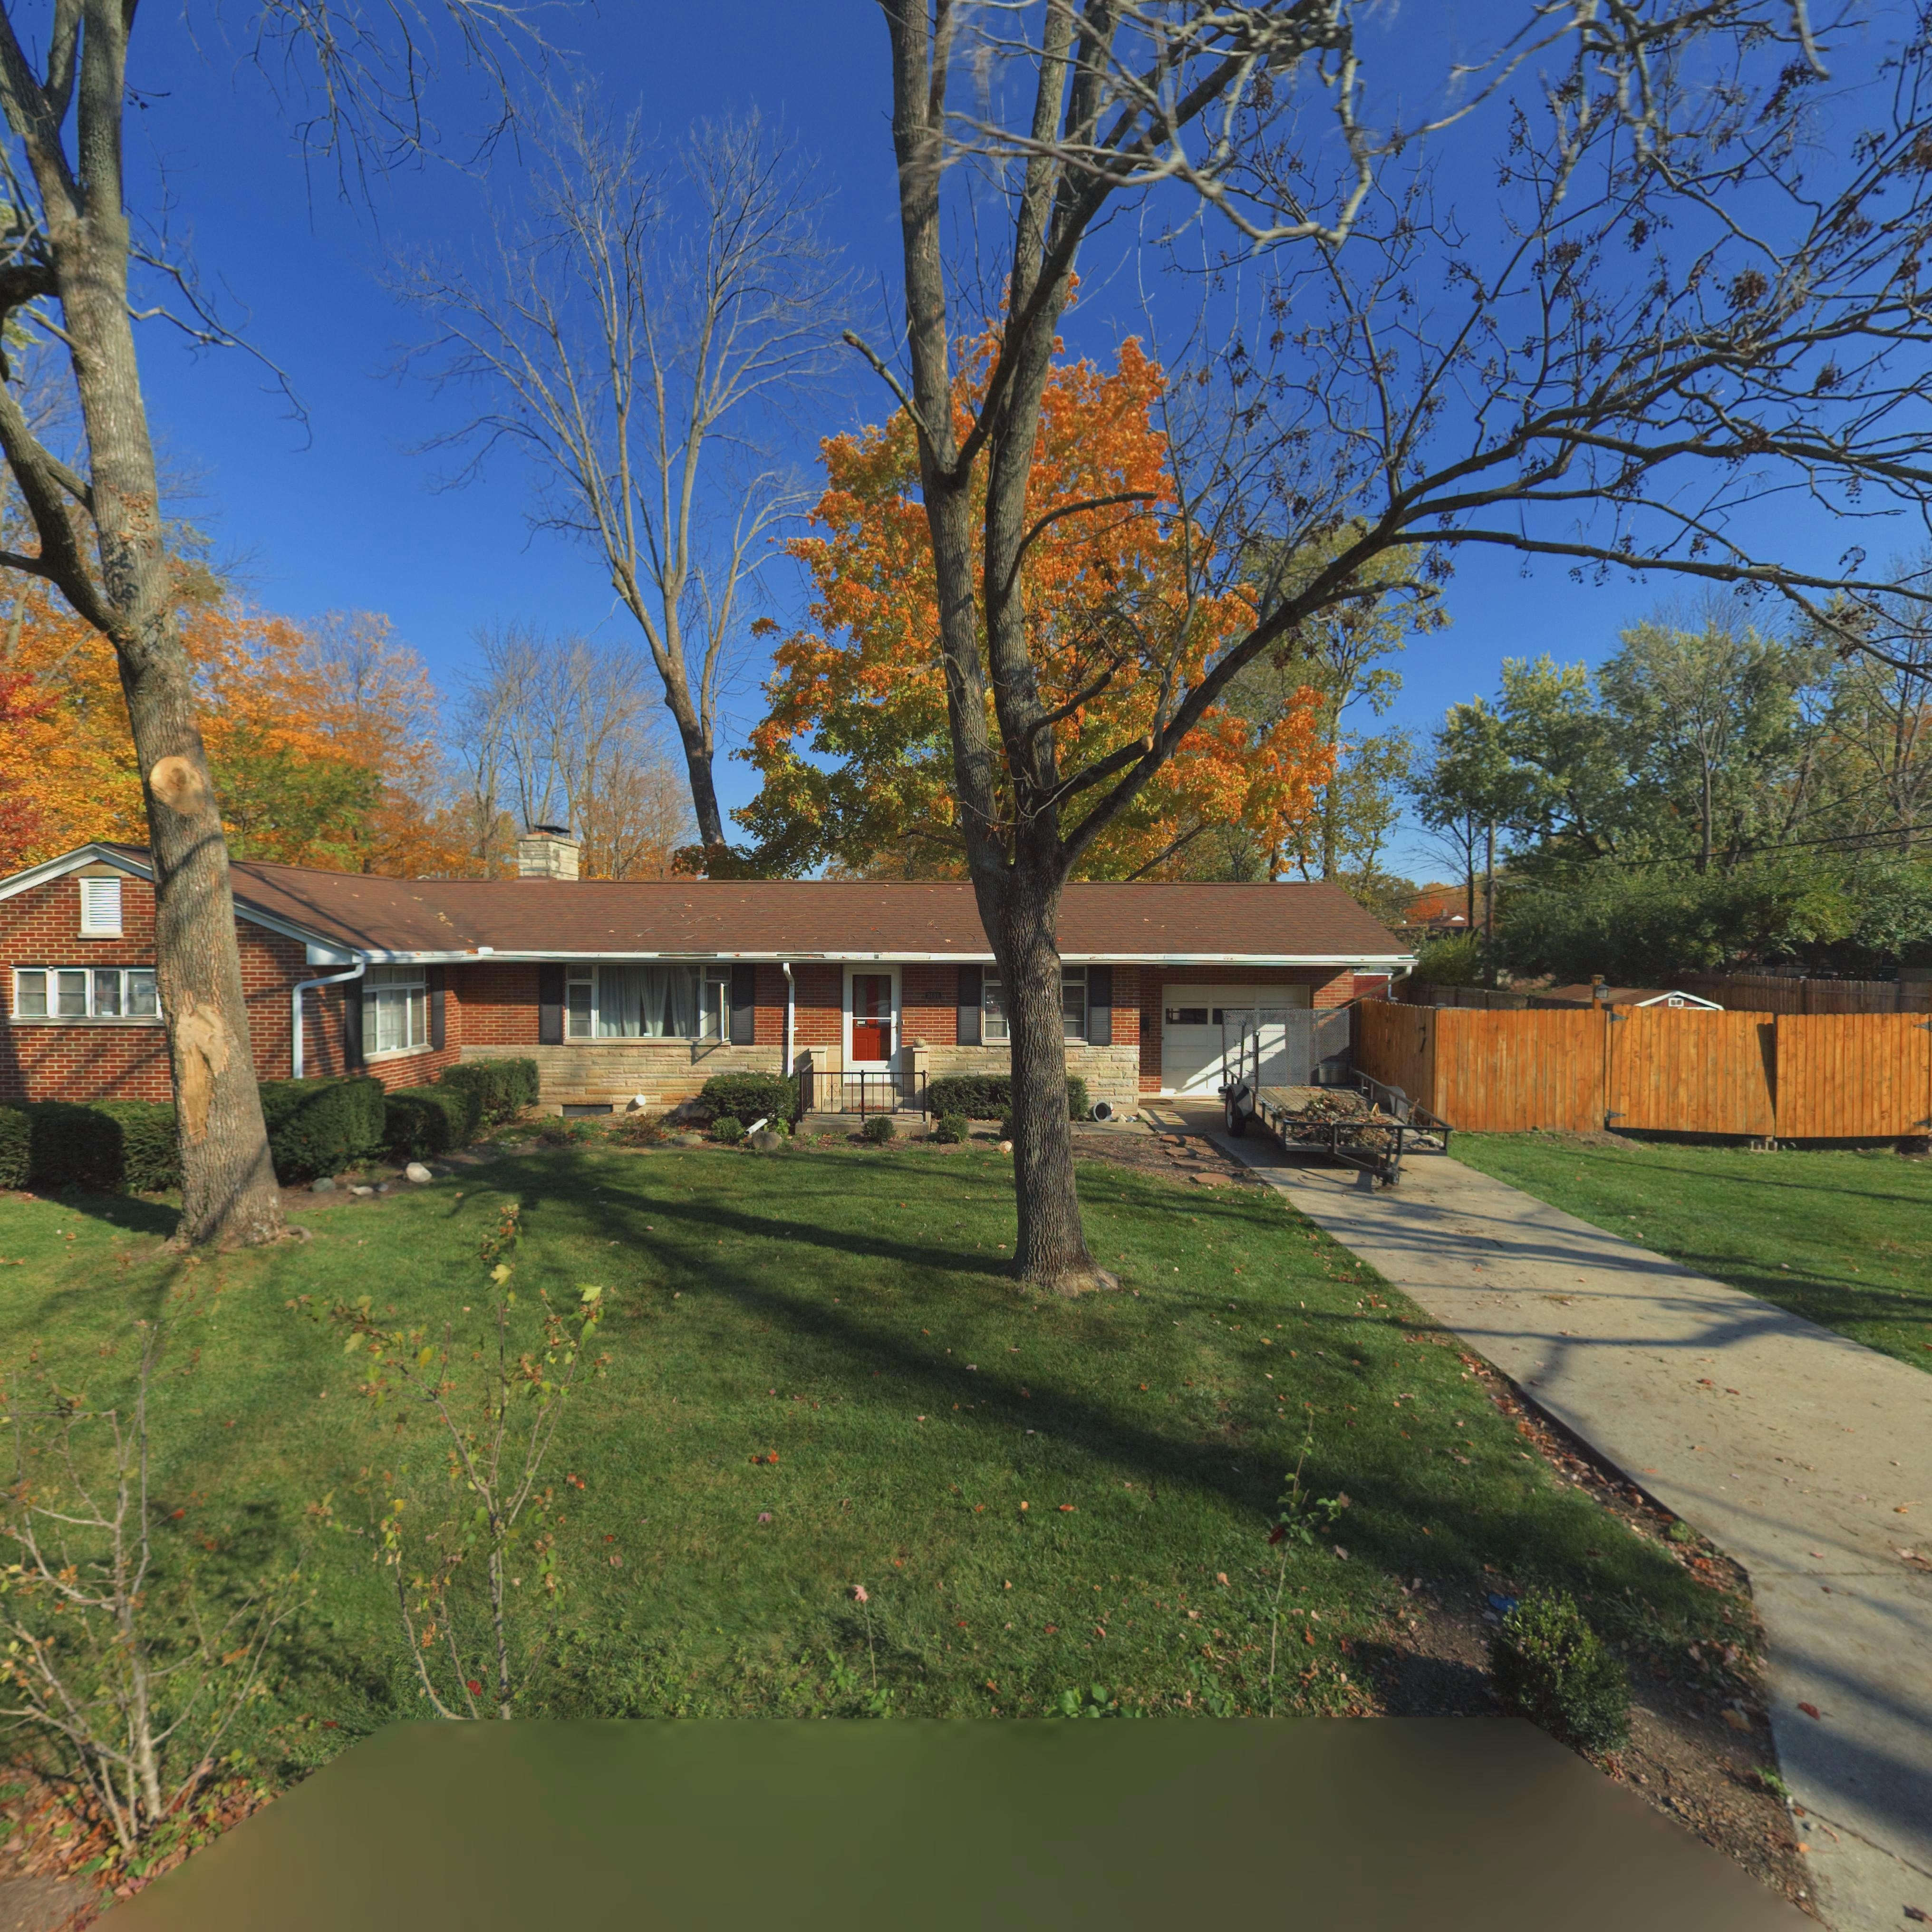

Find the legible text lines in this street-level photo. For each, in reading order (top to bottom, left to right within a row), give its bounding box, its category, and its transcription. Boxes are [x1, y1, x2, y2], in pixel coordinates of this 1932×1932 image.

[927, 993, 940, 998] StreetNumber: 3606